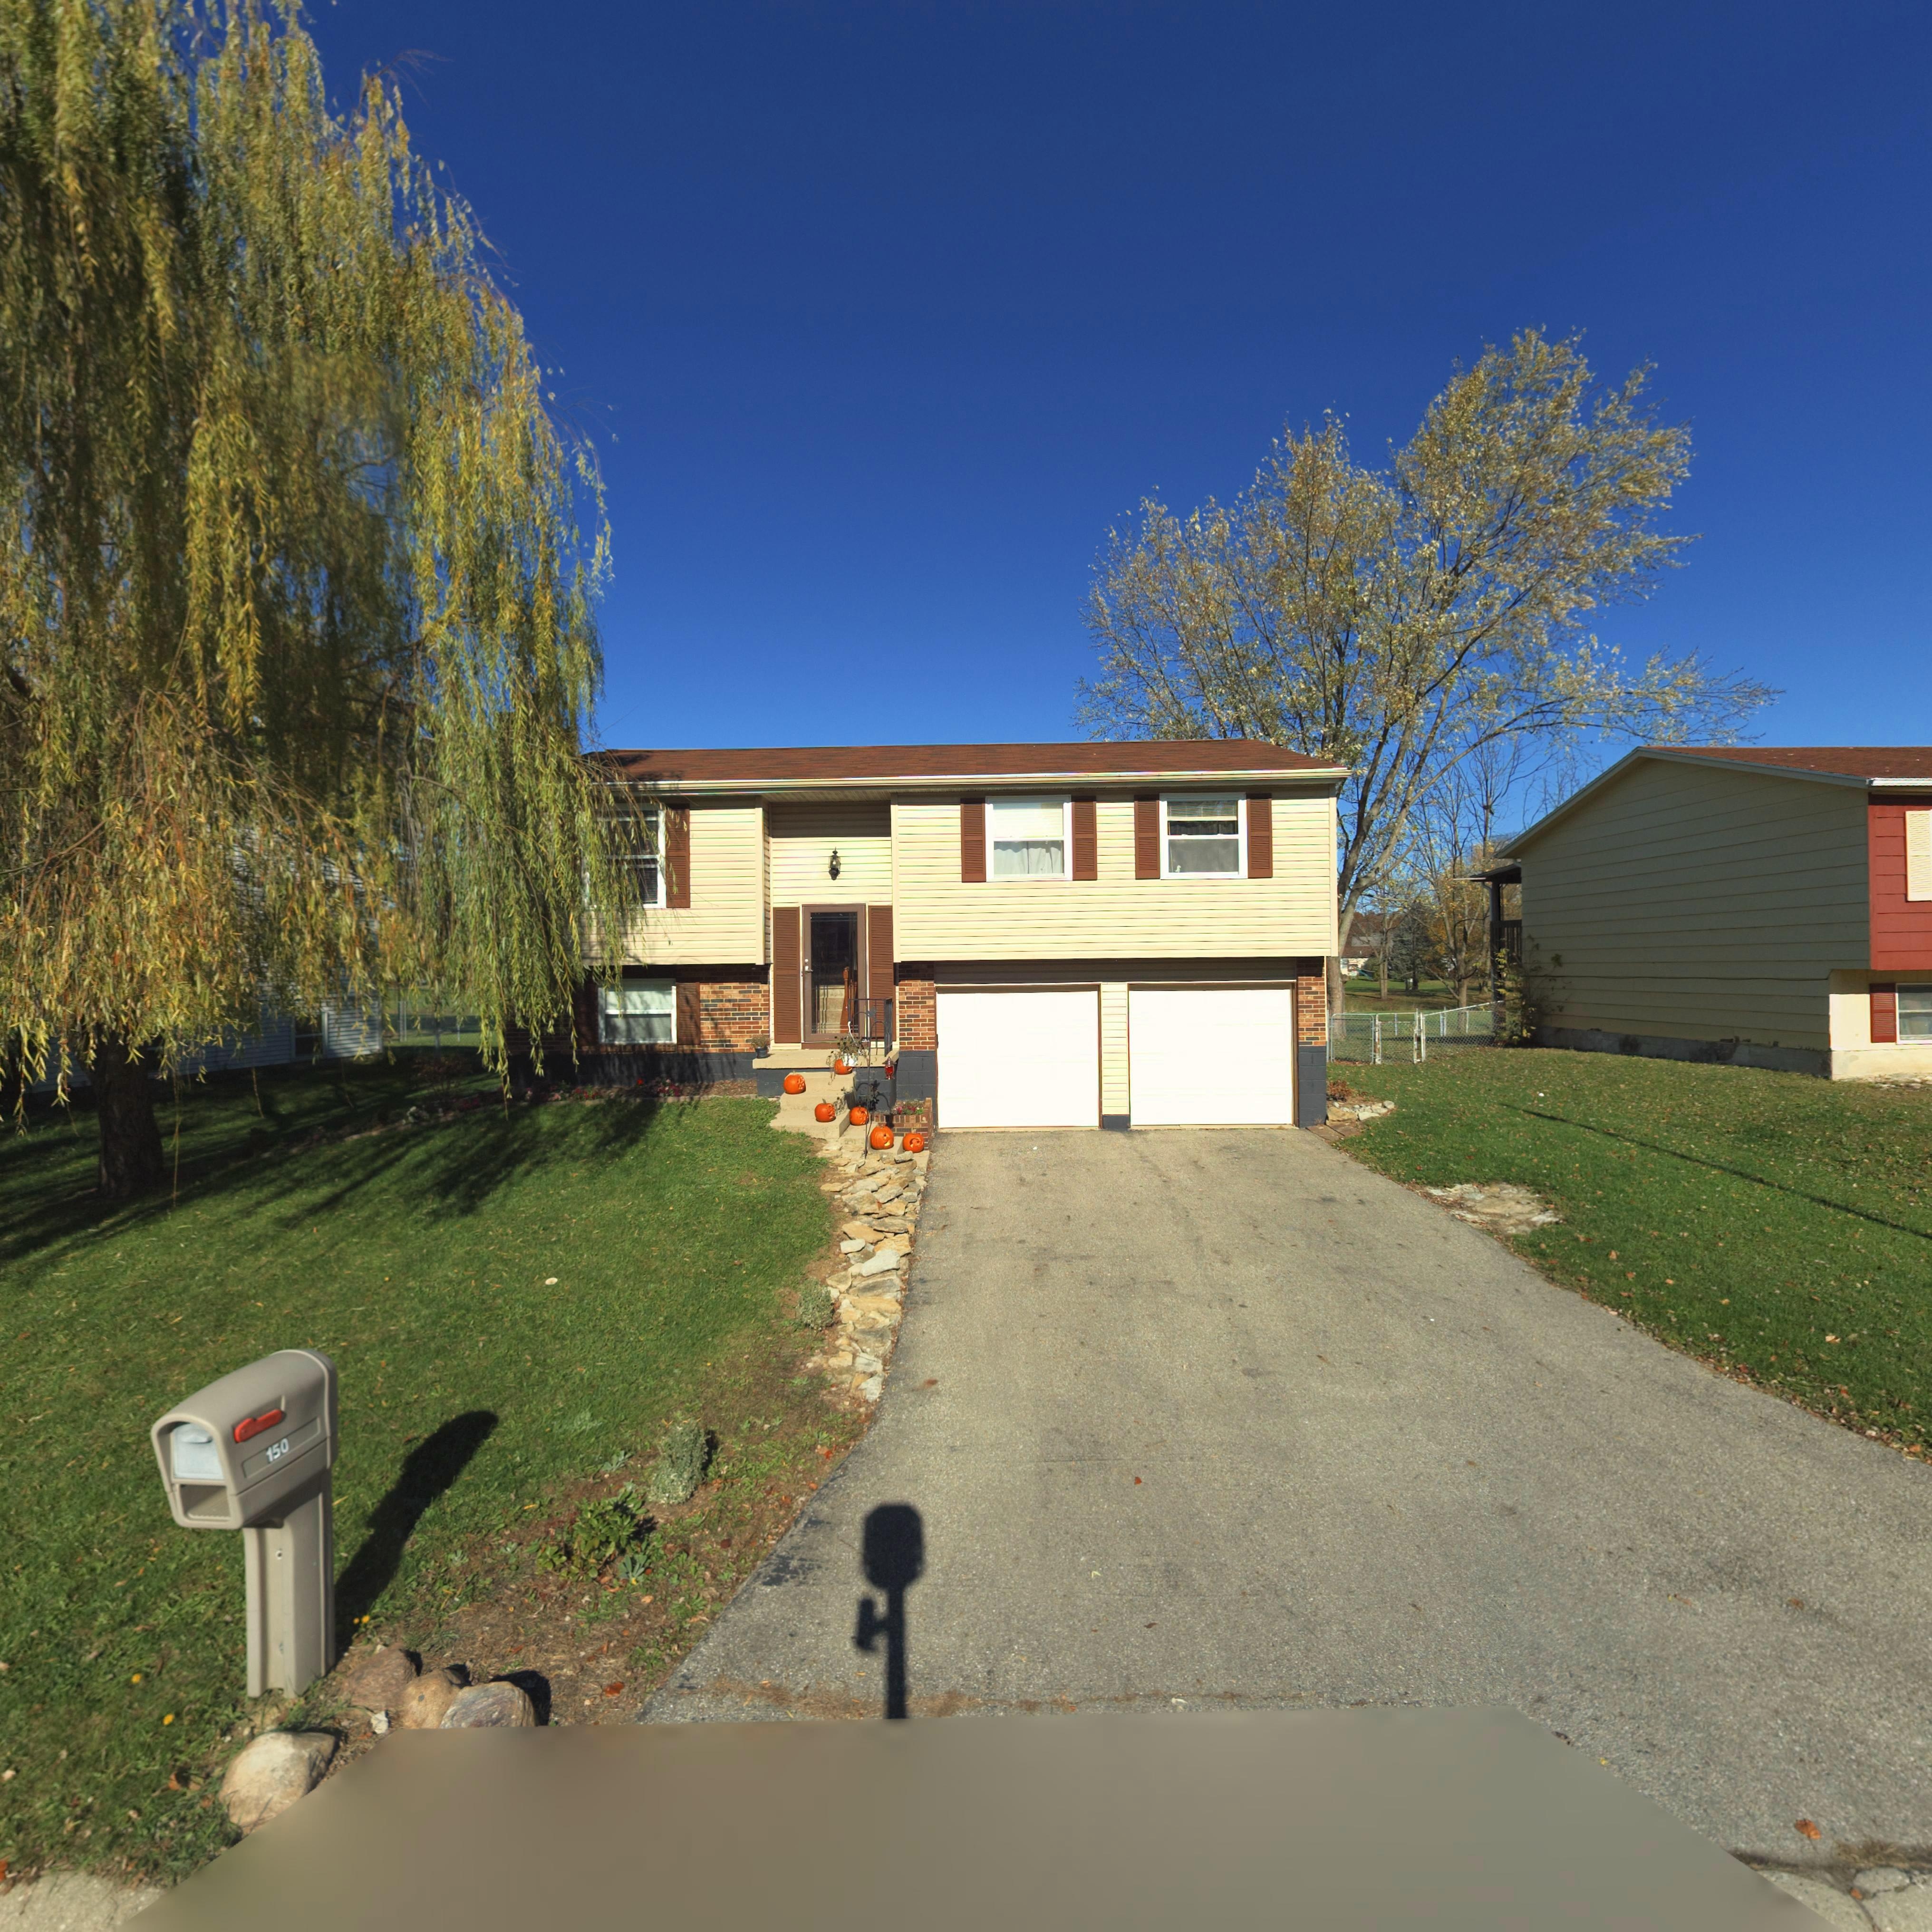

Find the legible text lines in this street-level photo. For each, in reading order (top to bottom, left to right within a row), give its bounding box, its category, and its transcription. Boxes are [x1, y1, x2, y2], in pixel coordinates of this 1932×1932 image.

[264, 1437, 290, 1463] StreetNumber: 150